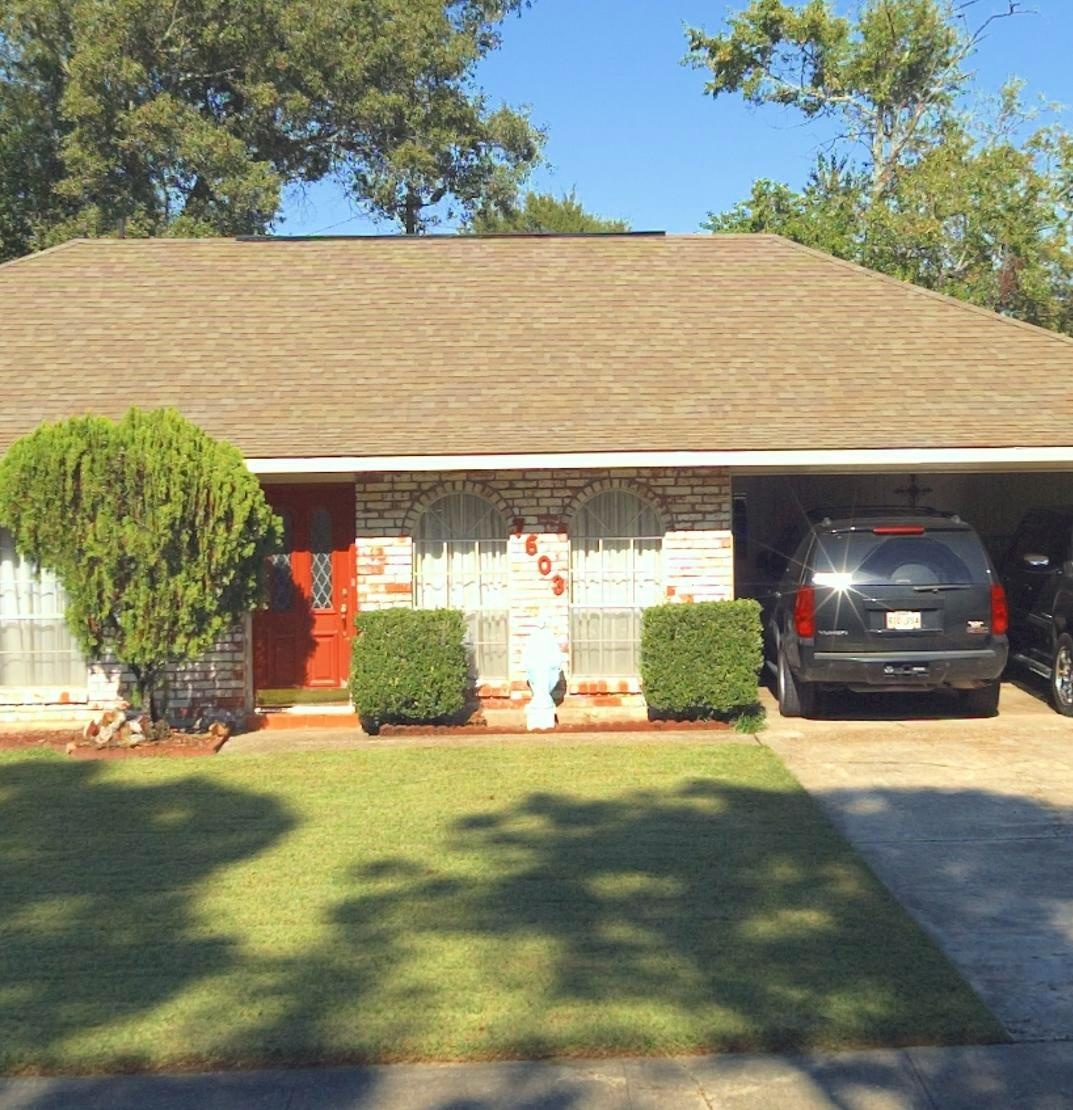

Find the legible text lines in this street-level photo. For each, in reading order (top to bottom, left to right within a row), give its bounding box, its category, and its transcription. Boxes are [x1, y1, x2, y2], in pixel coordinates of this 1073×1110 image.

[511, 517, 565, 601] StreetNumber: 7603